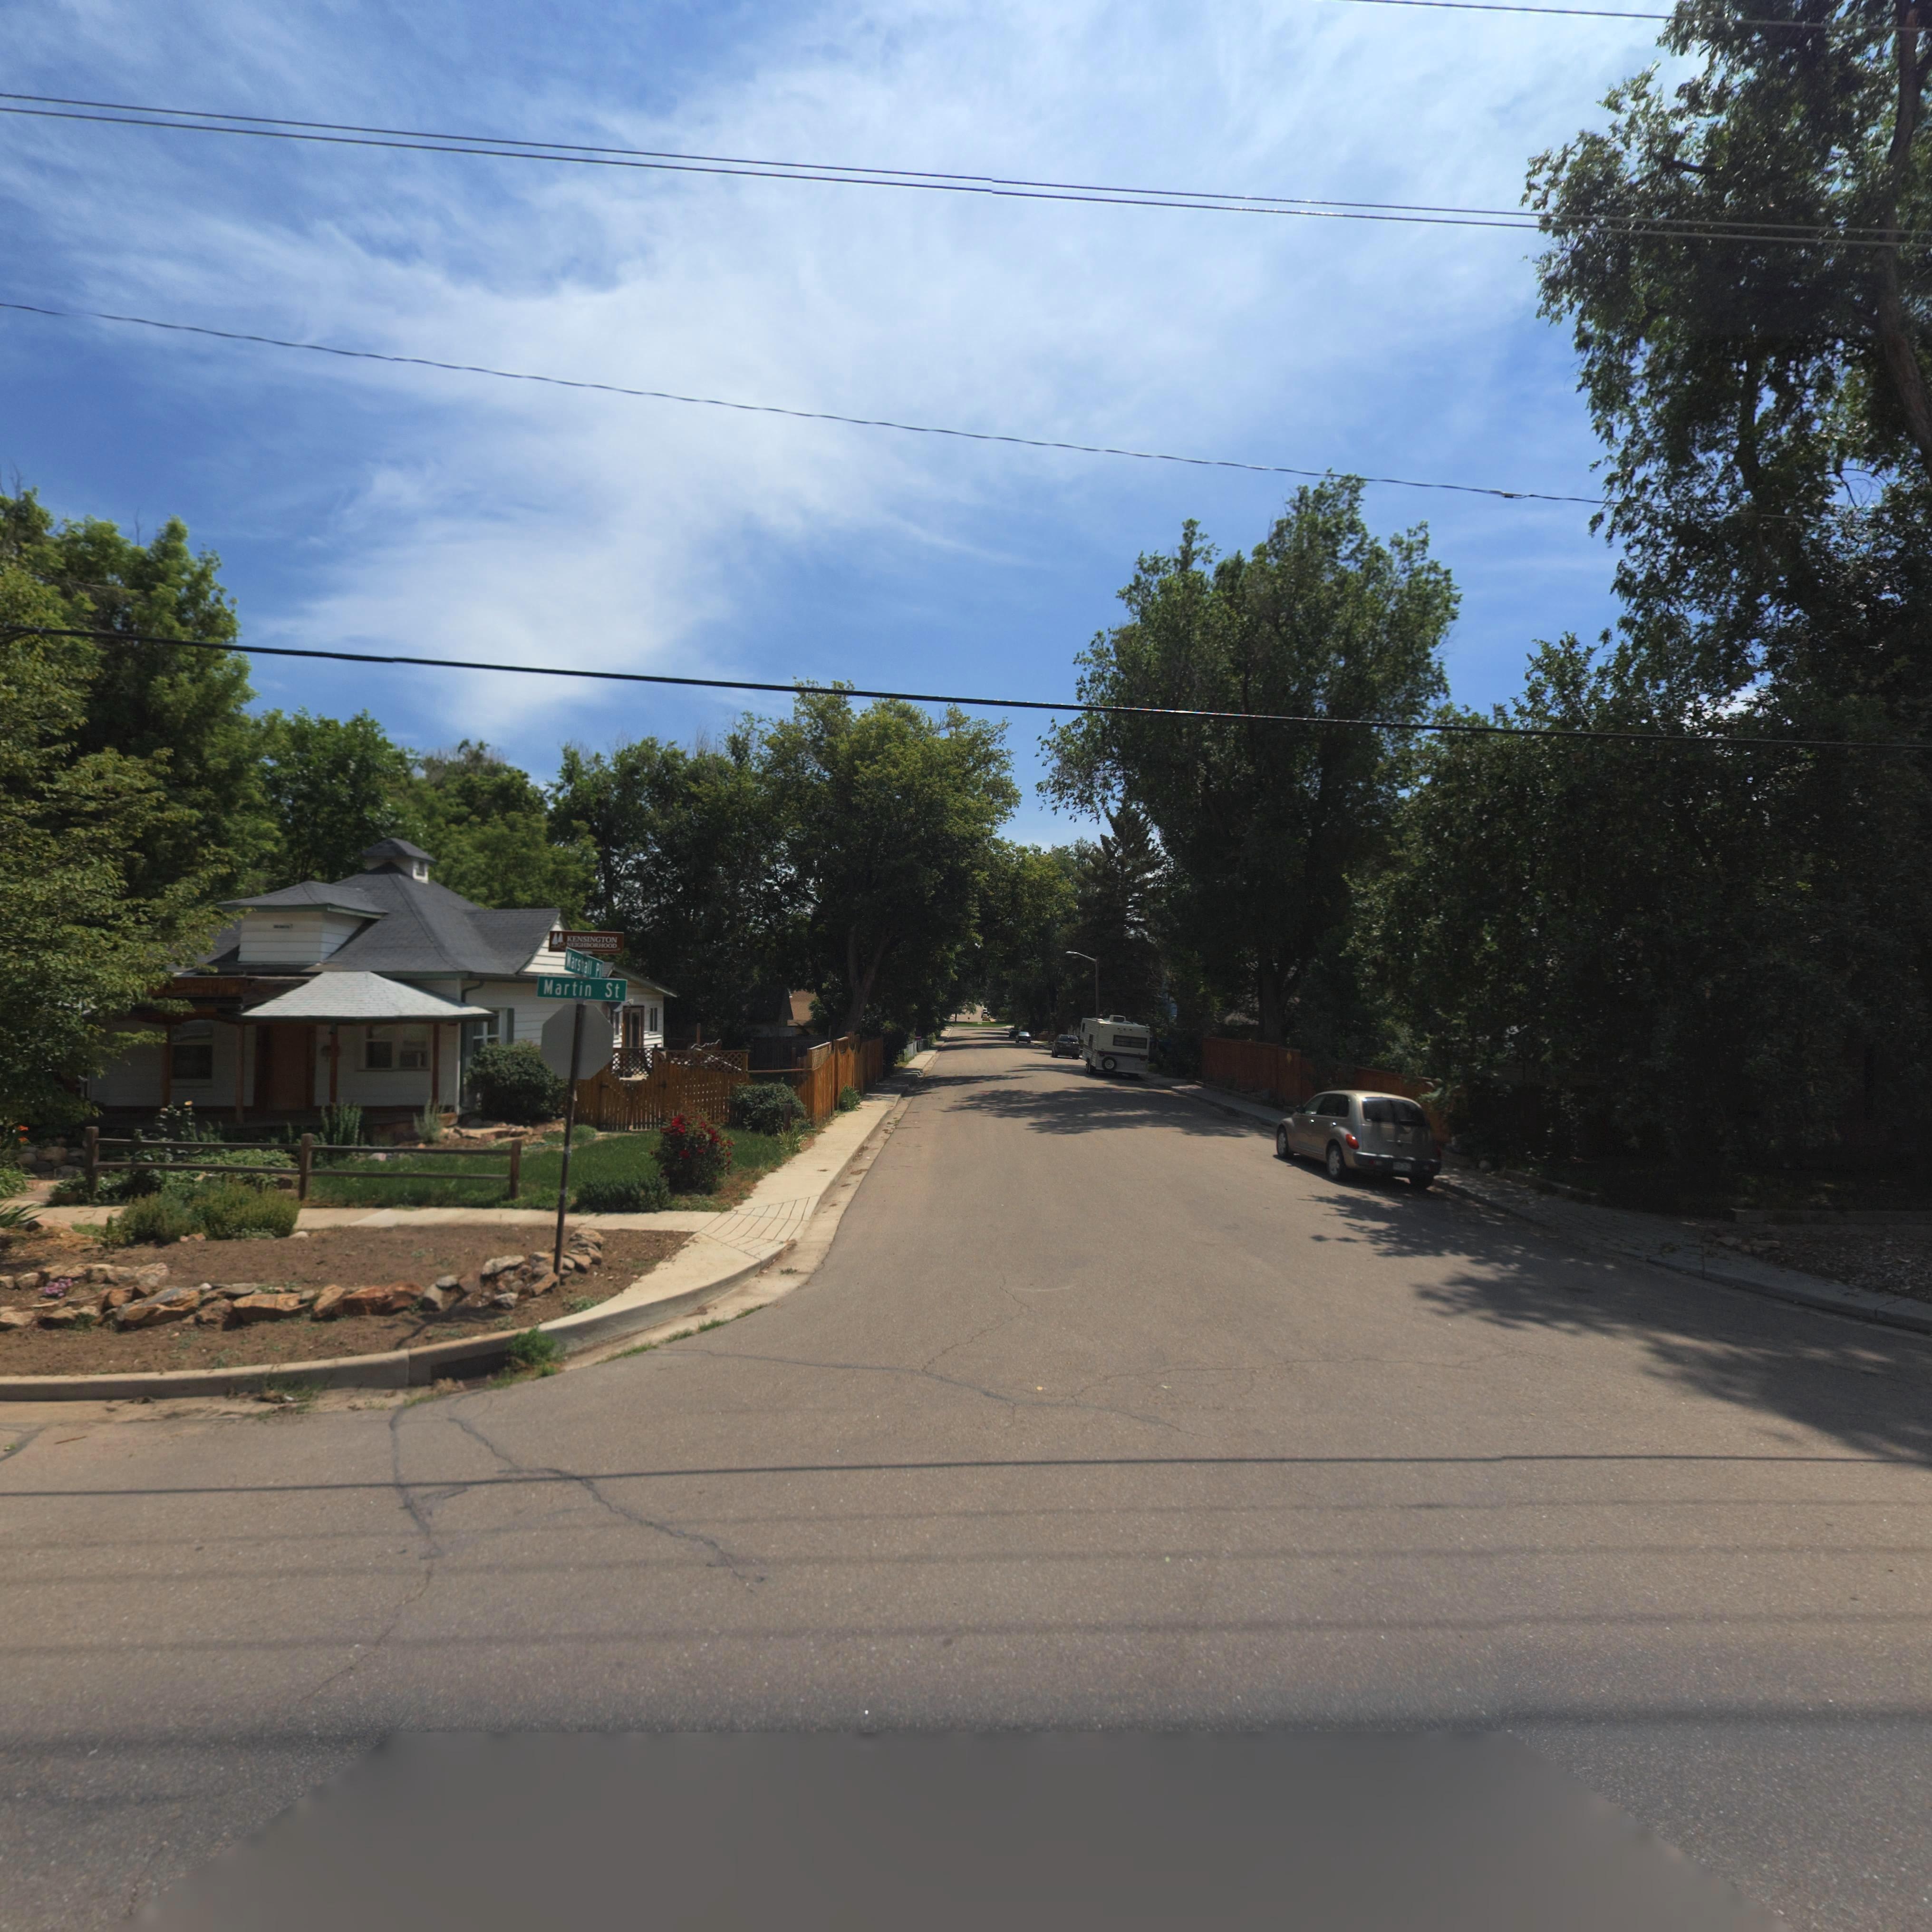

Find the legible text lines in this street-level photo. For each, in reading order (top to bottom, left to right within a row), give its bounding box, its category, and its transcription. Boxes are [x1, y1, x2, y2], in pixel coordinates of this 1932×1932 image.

[566, 951, 602, 978] StreetName: Marshall Pl
[543, 979, 620, 998] StreetName: Martin St